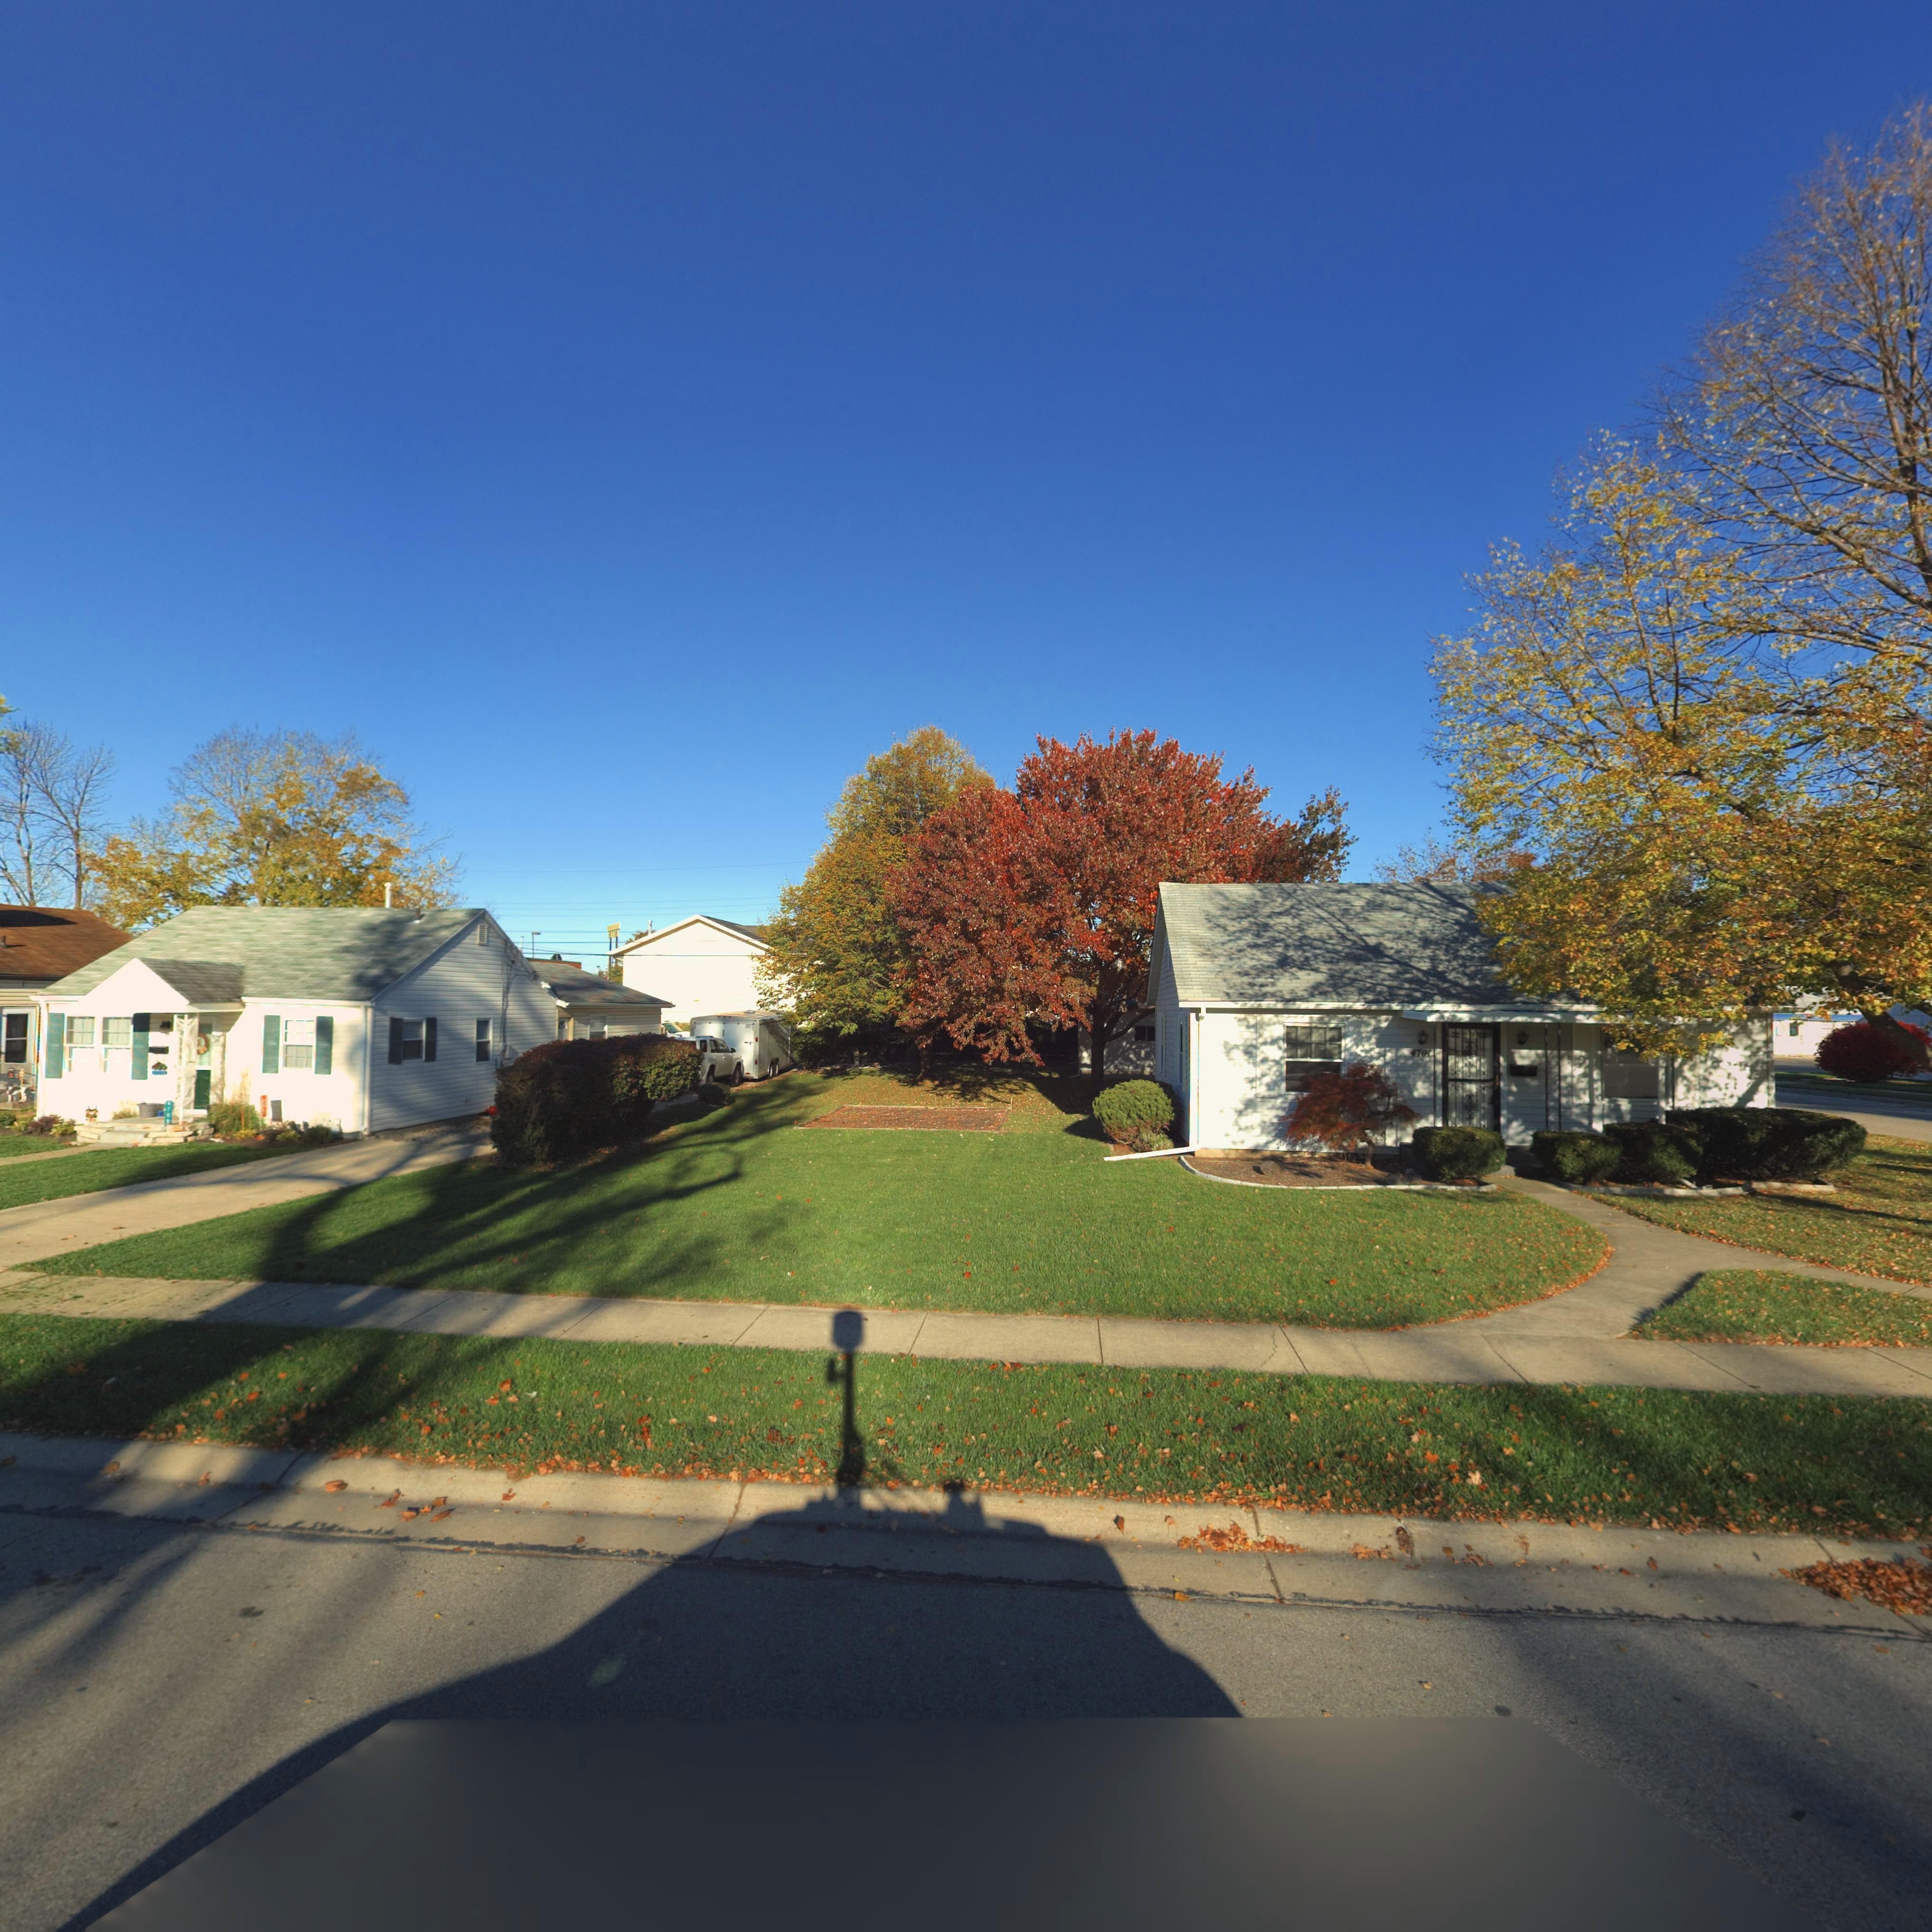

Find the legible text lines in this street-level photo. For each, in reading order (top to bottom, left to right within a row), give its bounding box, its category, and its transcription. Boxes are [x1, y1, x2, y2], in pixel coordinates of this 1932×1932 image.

[1409, 1048, 1432, 1058] StreetNumber: 4701